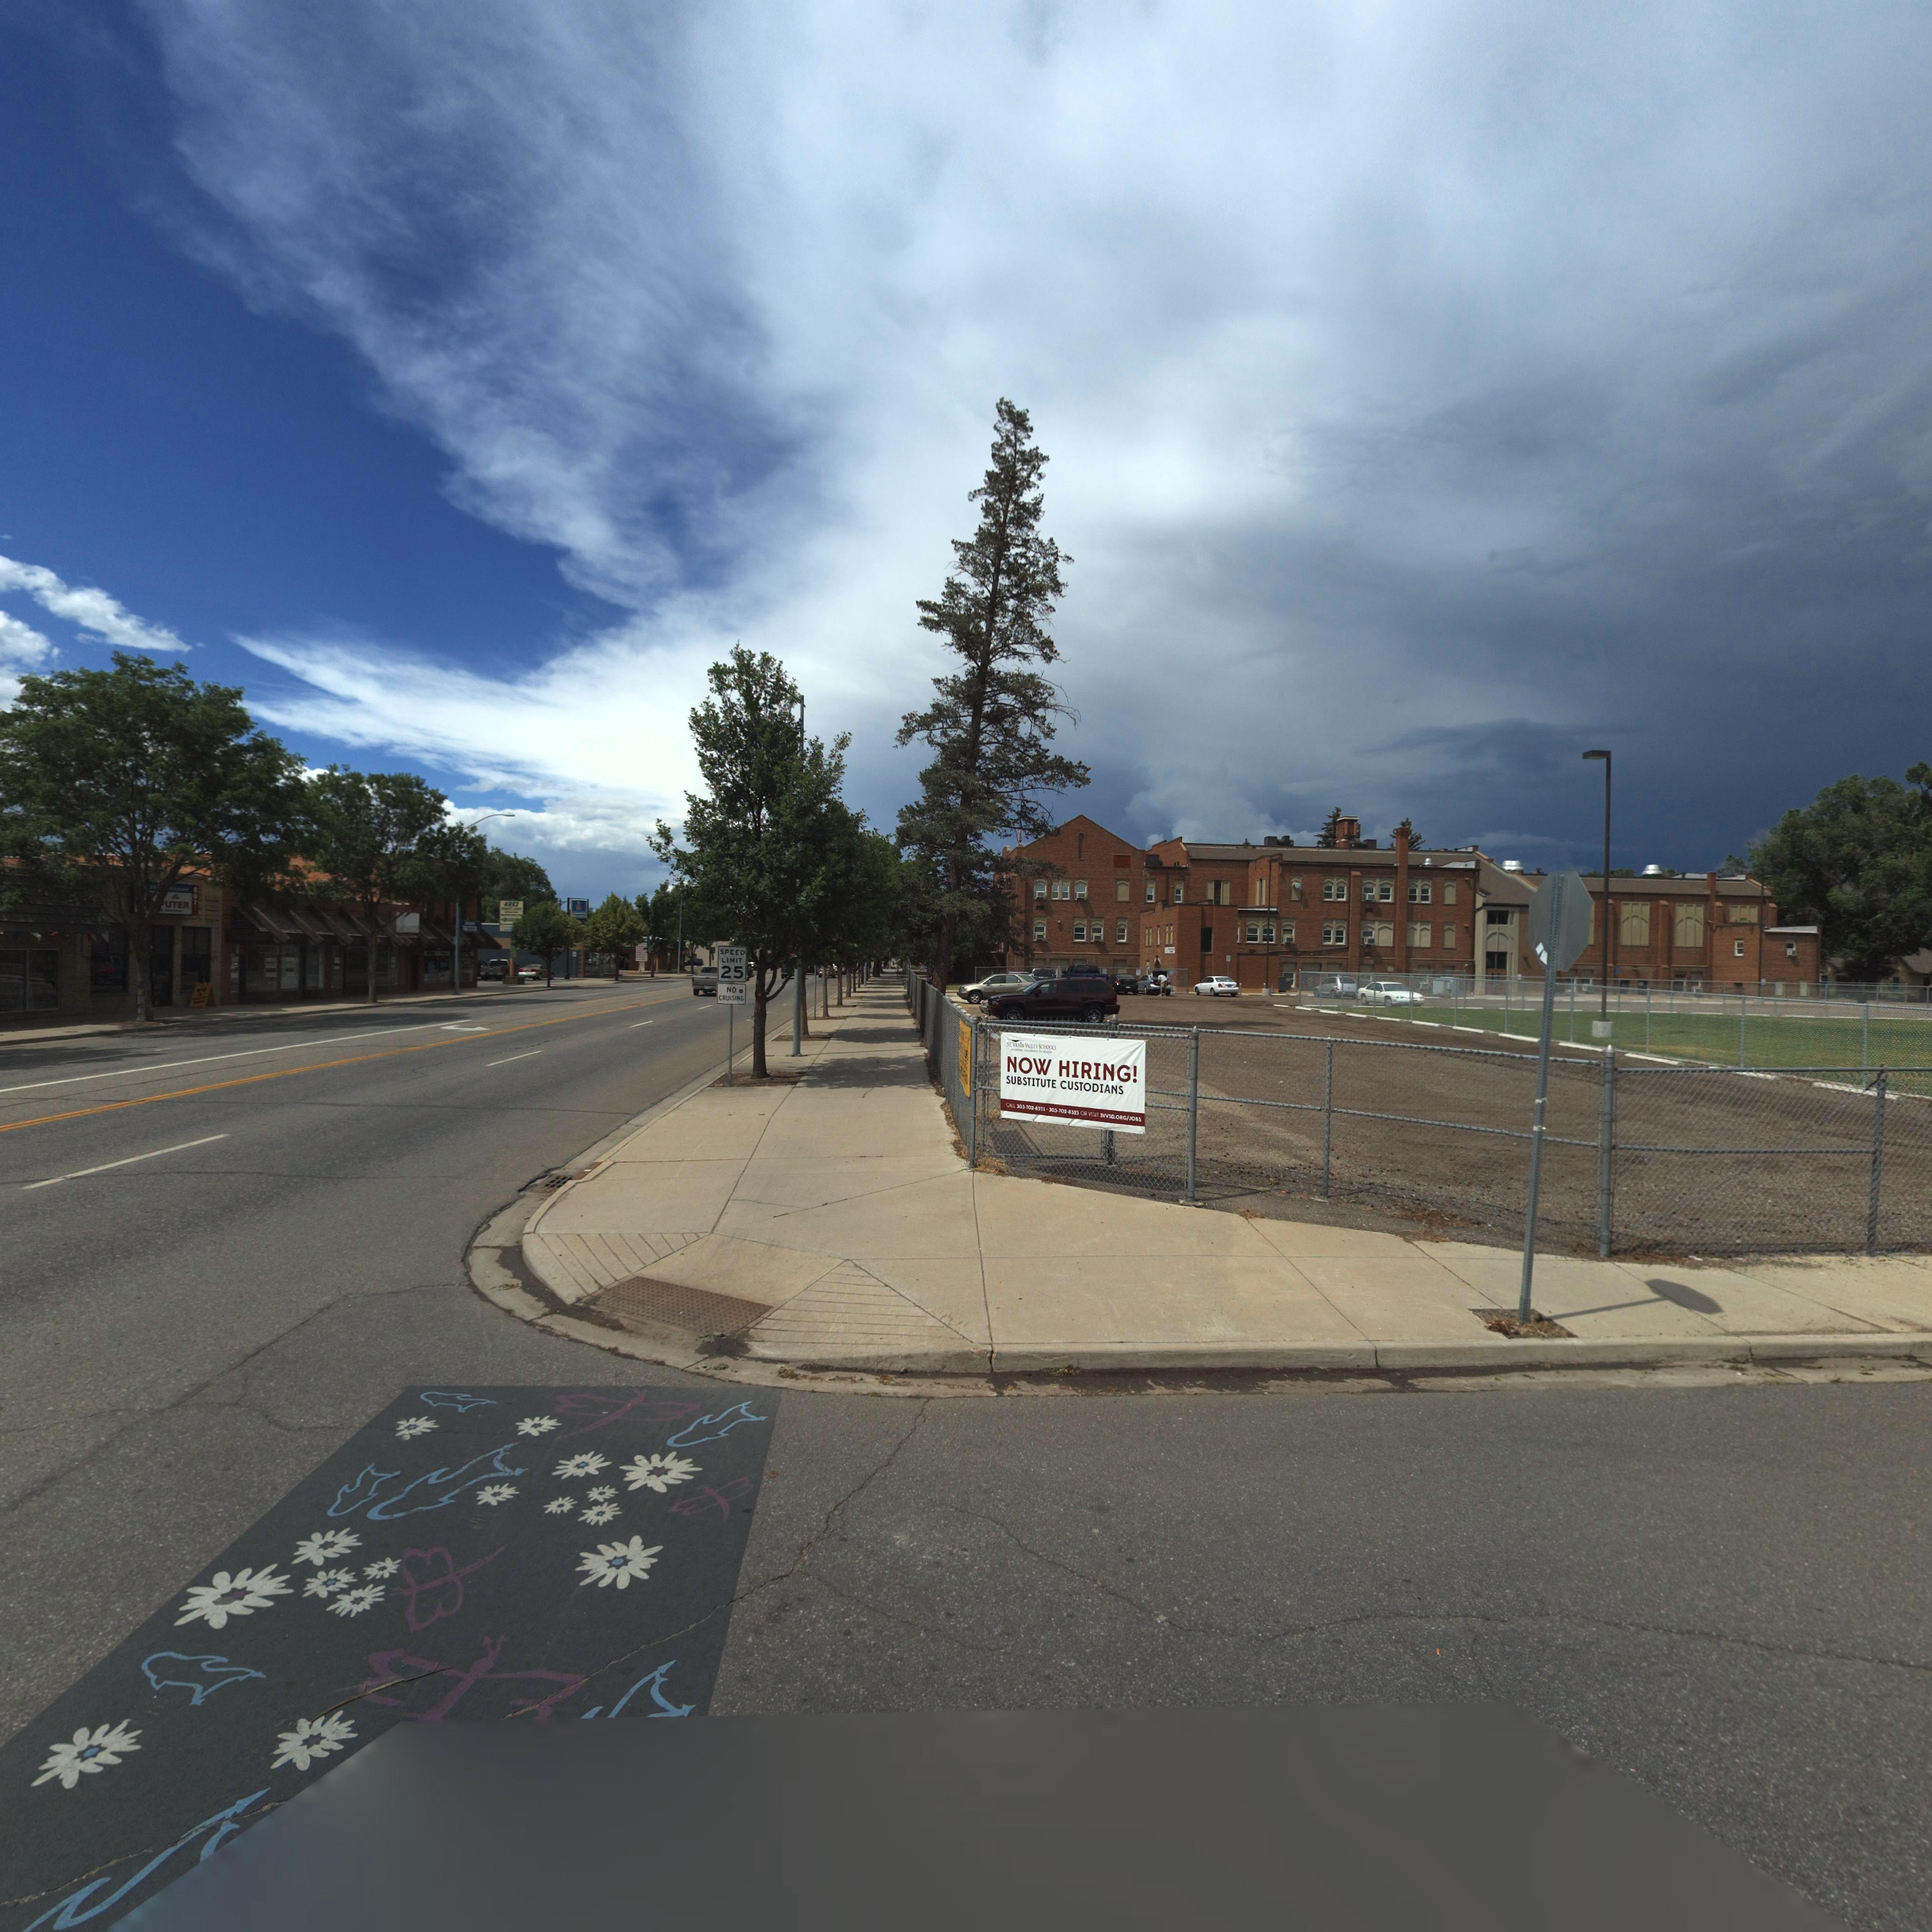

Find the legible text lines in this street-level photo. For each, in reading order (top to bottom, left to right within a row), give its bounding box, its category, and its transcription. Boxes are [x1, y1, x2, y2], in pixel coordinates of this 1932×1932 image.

[171, 893, 179, 899] BusinessName: &
[193, 886, 198, 905] StreetNumber: 803
[164, 900, 189, 909] BusinessName: UTER
[503, 901, 520, 907] BusinessName: ARES
[501, 906, 522, 911] BusinessName: THRIFT SHOP